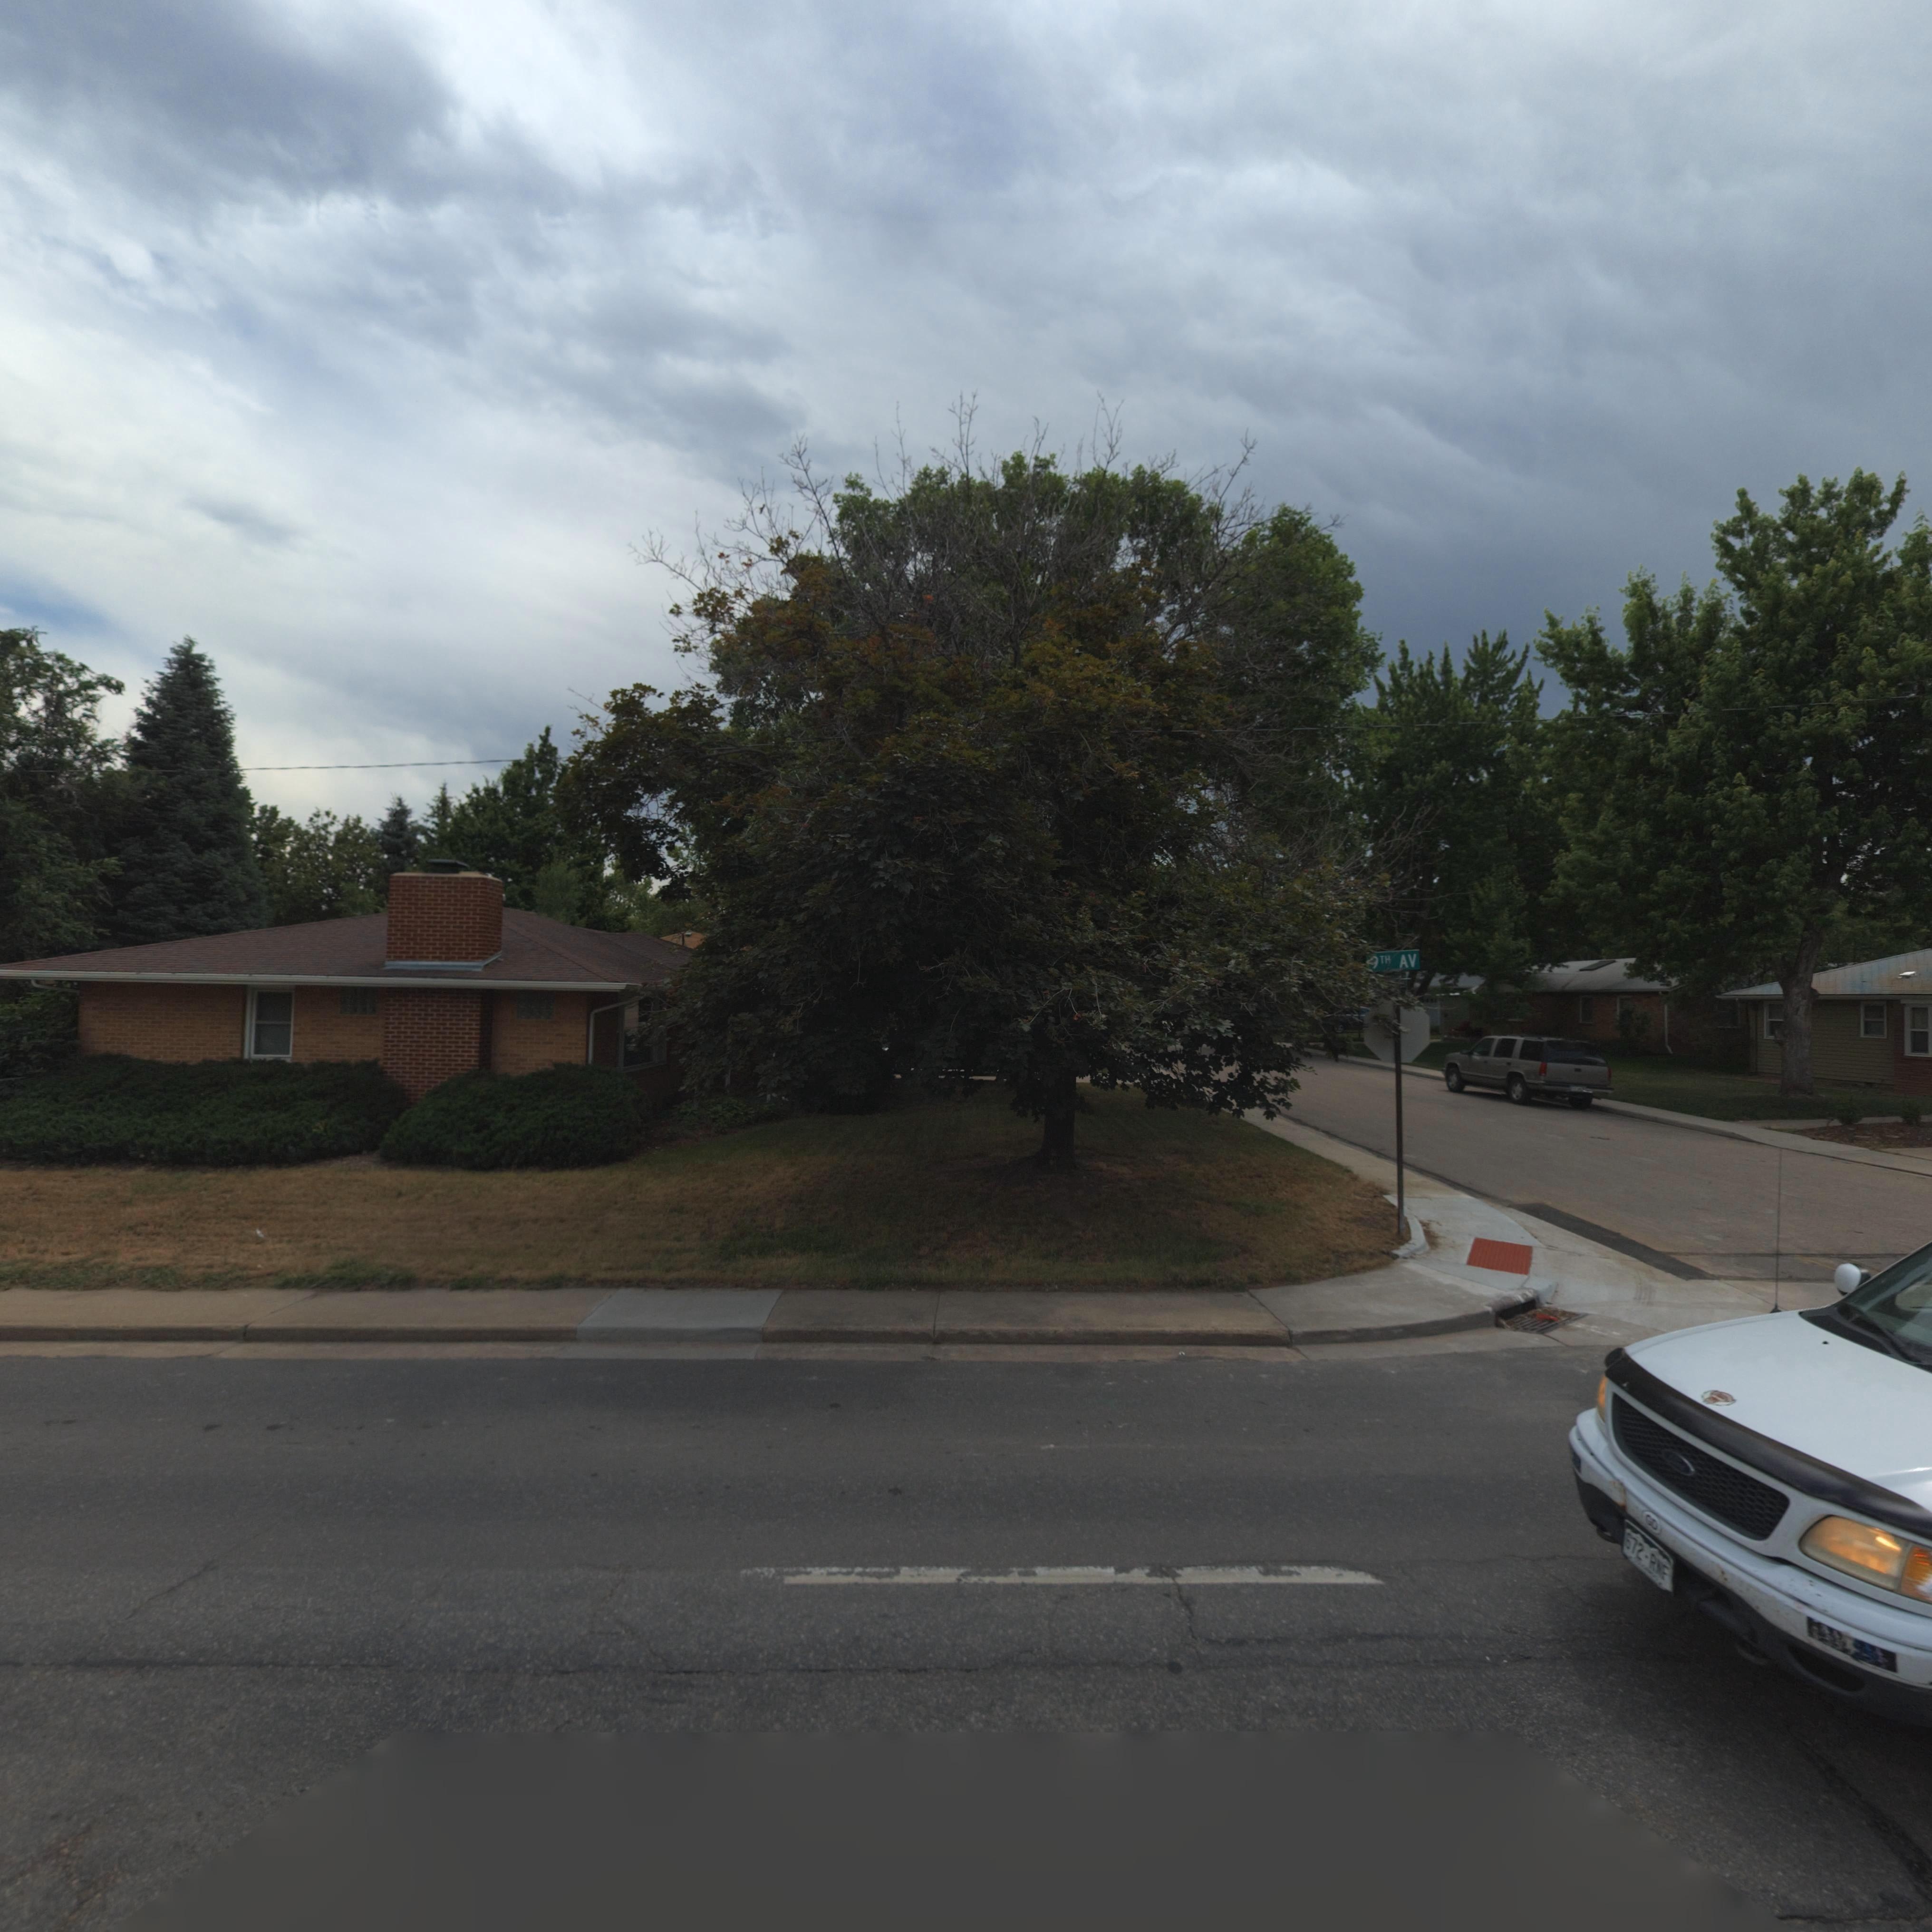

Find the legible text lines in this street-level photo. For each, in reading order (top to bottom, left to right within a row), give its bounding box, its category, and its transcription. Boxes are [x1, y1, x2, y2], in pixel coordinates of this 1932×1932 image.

[1369, 952, 1418, 970] StreetName: *TH AV